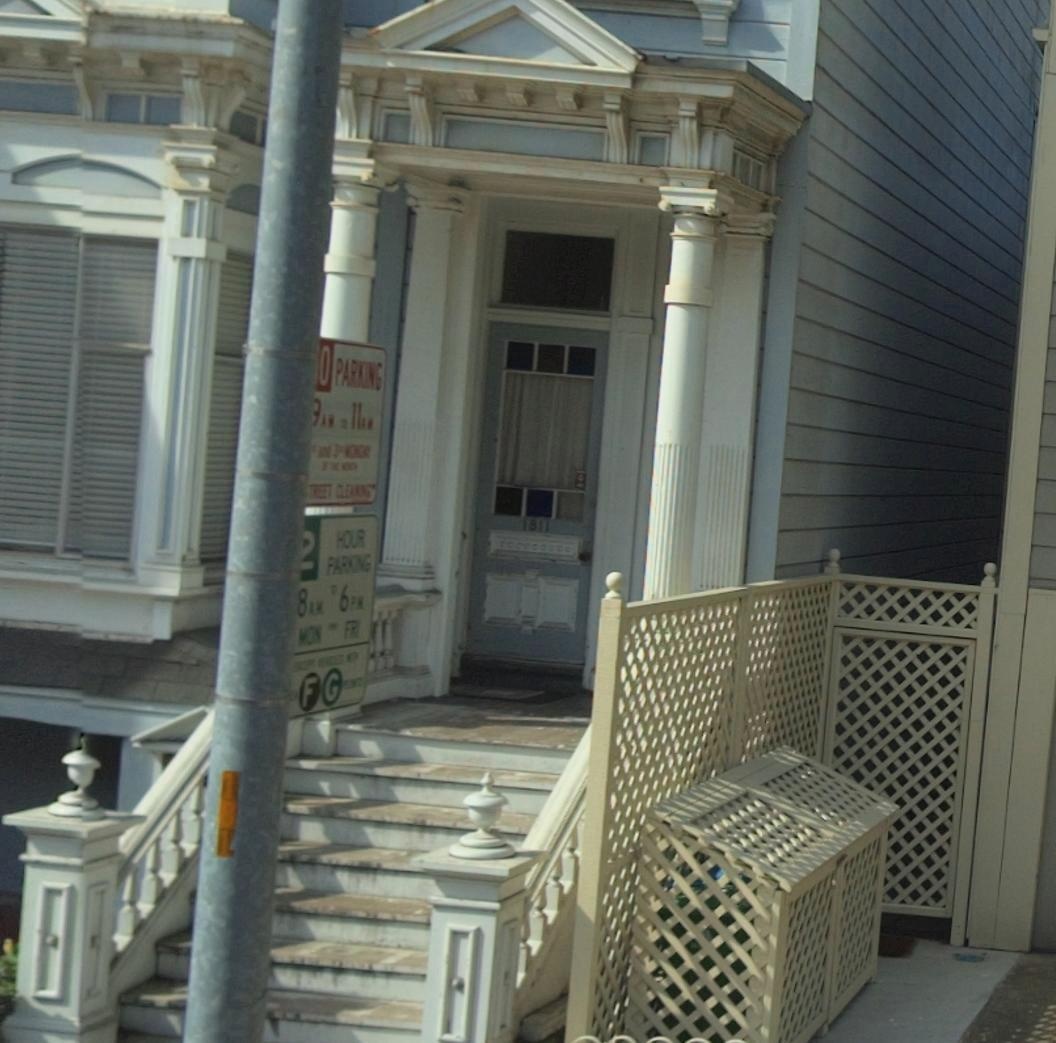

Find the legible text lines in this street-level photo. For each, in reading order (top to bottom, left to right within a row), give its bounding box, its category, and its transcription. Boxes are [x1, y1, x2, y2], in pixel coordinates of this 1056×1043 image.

[317, 343, 386, 394] None: O PARKING
[348, 397, 376, 433] None: 11 A*
[307, 480, 353, 502] None: T*EET CLE
[332, 525, 369, 554] None: HOUR
[520, 516, 552, 535] StreetNumber: 1811
[324, 550, 374, 579] None: PARKING
[296, 580, 367, 621] None: 8 AM ** 6 PM
[295, 615, 363, 651] None: MON ** FRI
[300, 674, 320, 709] None: F
[322, 670, 342, 706] None: G
[215, 769, 240, 860] None: 181